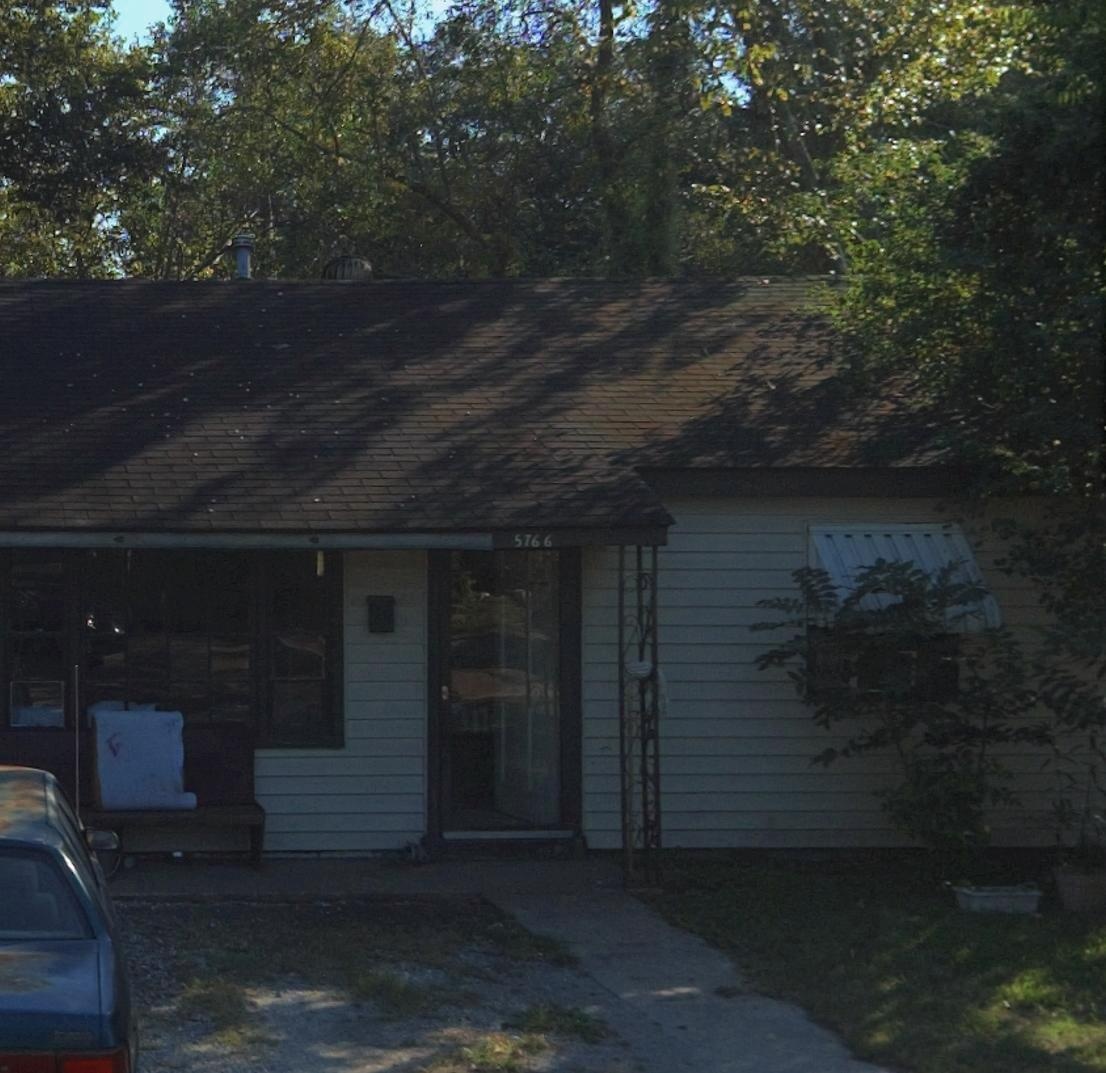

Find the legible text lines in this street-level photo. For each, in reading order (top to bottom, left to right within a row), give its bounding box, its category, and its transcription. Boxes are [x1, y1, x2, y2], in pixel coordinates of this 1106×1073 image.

[513, 533, 553, 548] StreetNumber: 5766